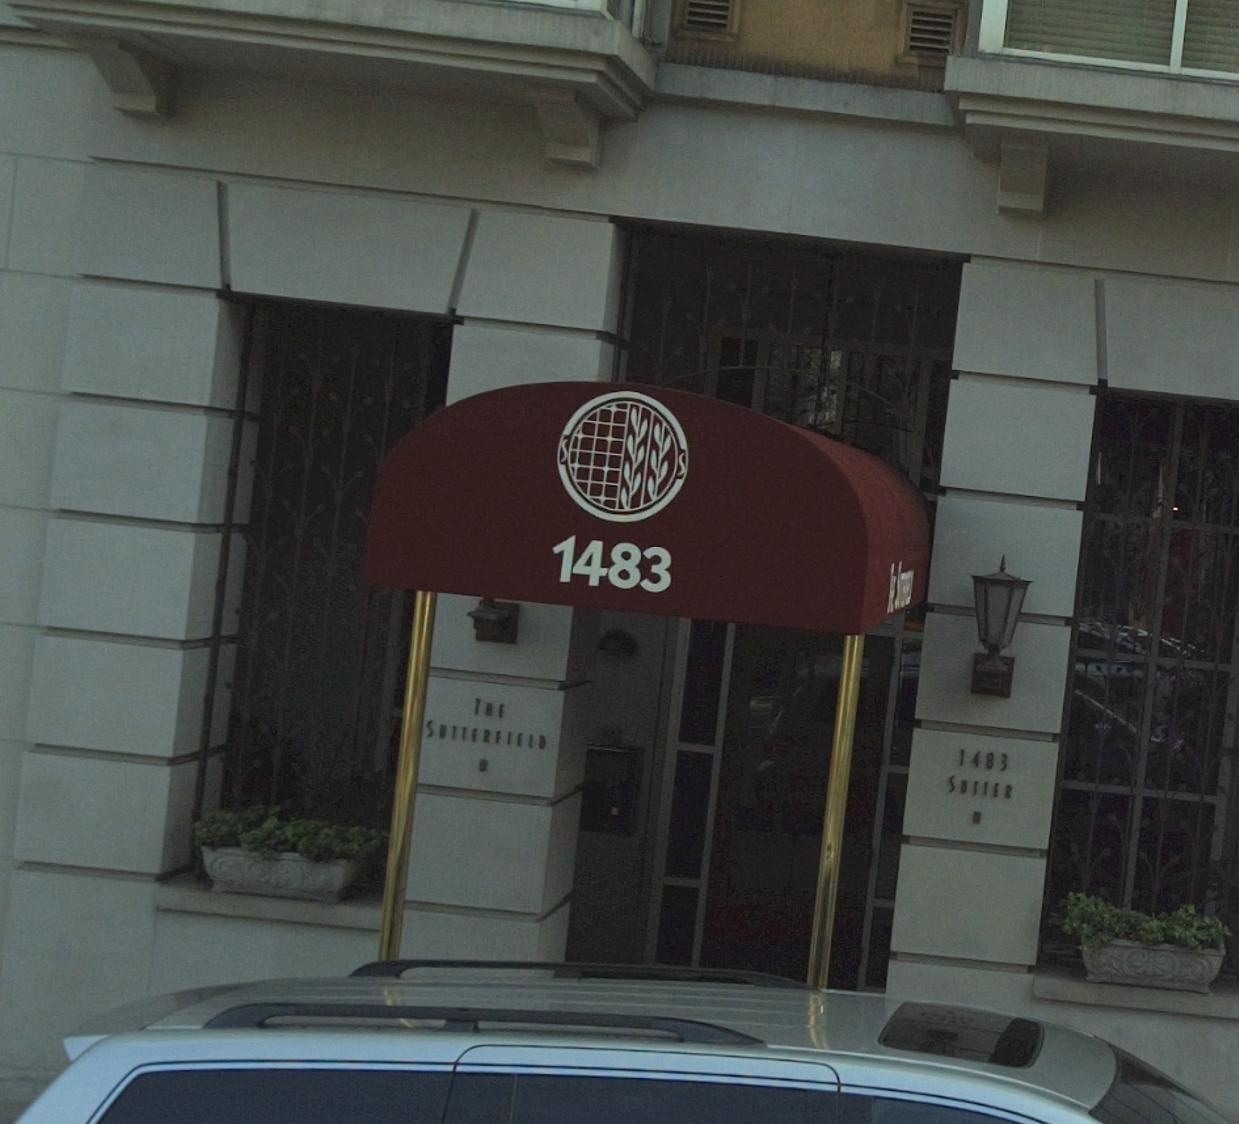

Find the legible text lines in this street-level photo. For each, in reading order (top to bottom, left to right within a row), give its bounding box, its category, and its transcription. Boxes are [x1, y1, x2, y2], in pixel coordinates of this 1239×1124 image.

[543, 528, 679, 598] StreetNumber: 1483
[468, 692, 509, 722] BusinessName: THE
[422, 717, 550, 753] BusinessName: SUTTERFIELD
[954, 743, 1011, 775] StreetNumber: 1483
[944, 771, 1015, 803] StreetName: SUTTER